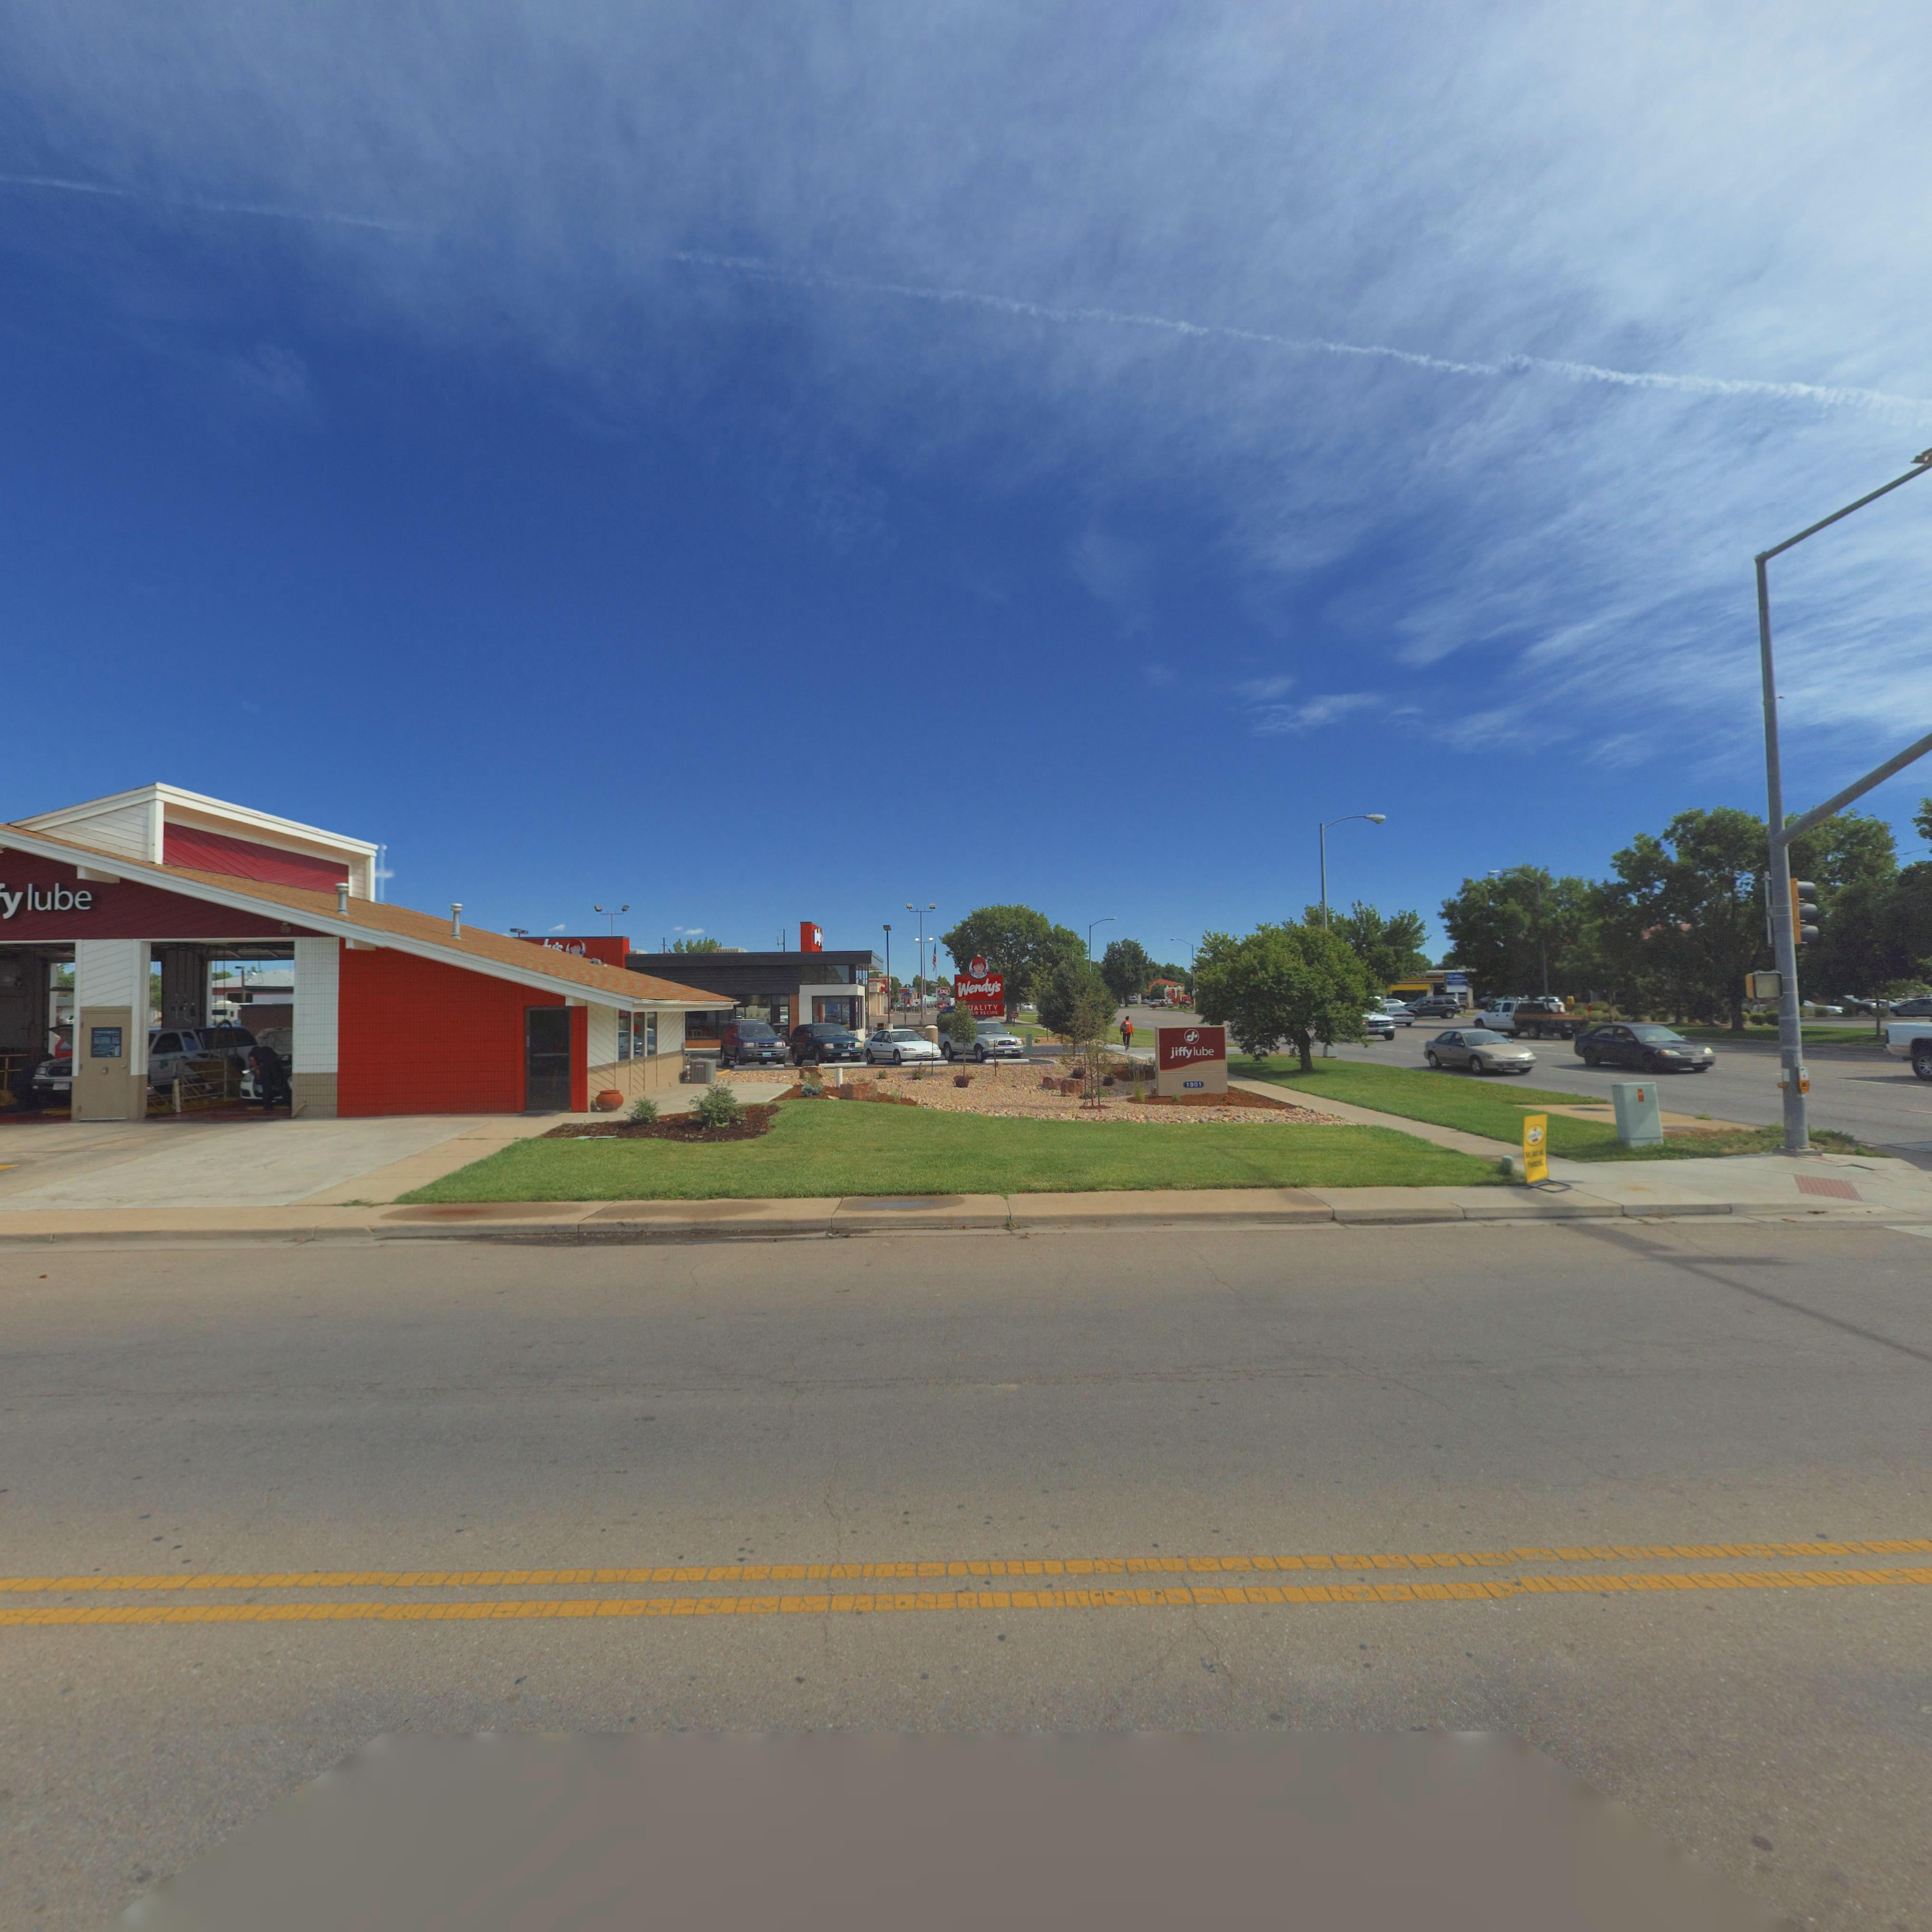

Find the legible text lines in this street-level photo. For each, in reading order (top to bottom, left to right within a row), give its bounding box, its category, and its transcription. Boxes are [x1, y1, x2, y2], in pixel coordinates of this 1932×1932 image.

[1, 882, 93, 919] StreetNumber: y lube
[939, 989, 948, 994] BusinessName: DQ
[957, 977, 1001, 997] BusinessName: Wendy's
[1169, 1046, 1214, 1059] StreetNumber: jiffy lube
[1186, 1081, 1201, 1087] StreetNumber: 1901